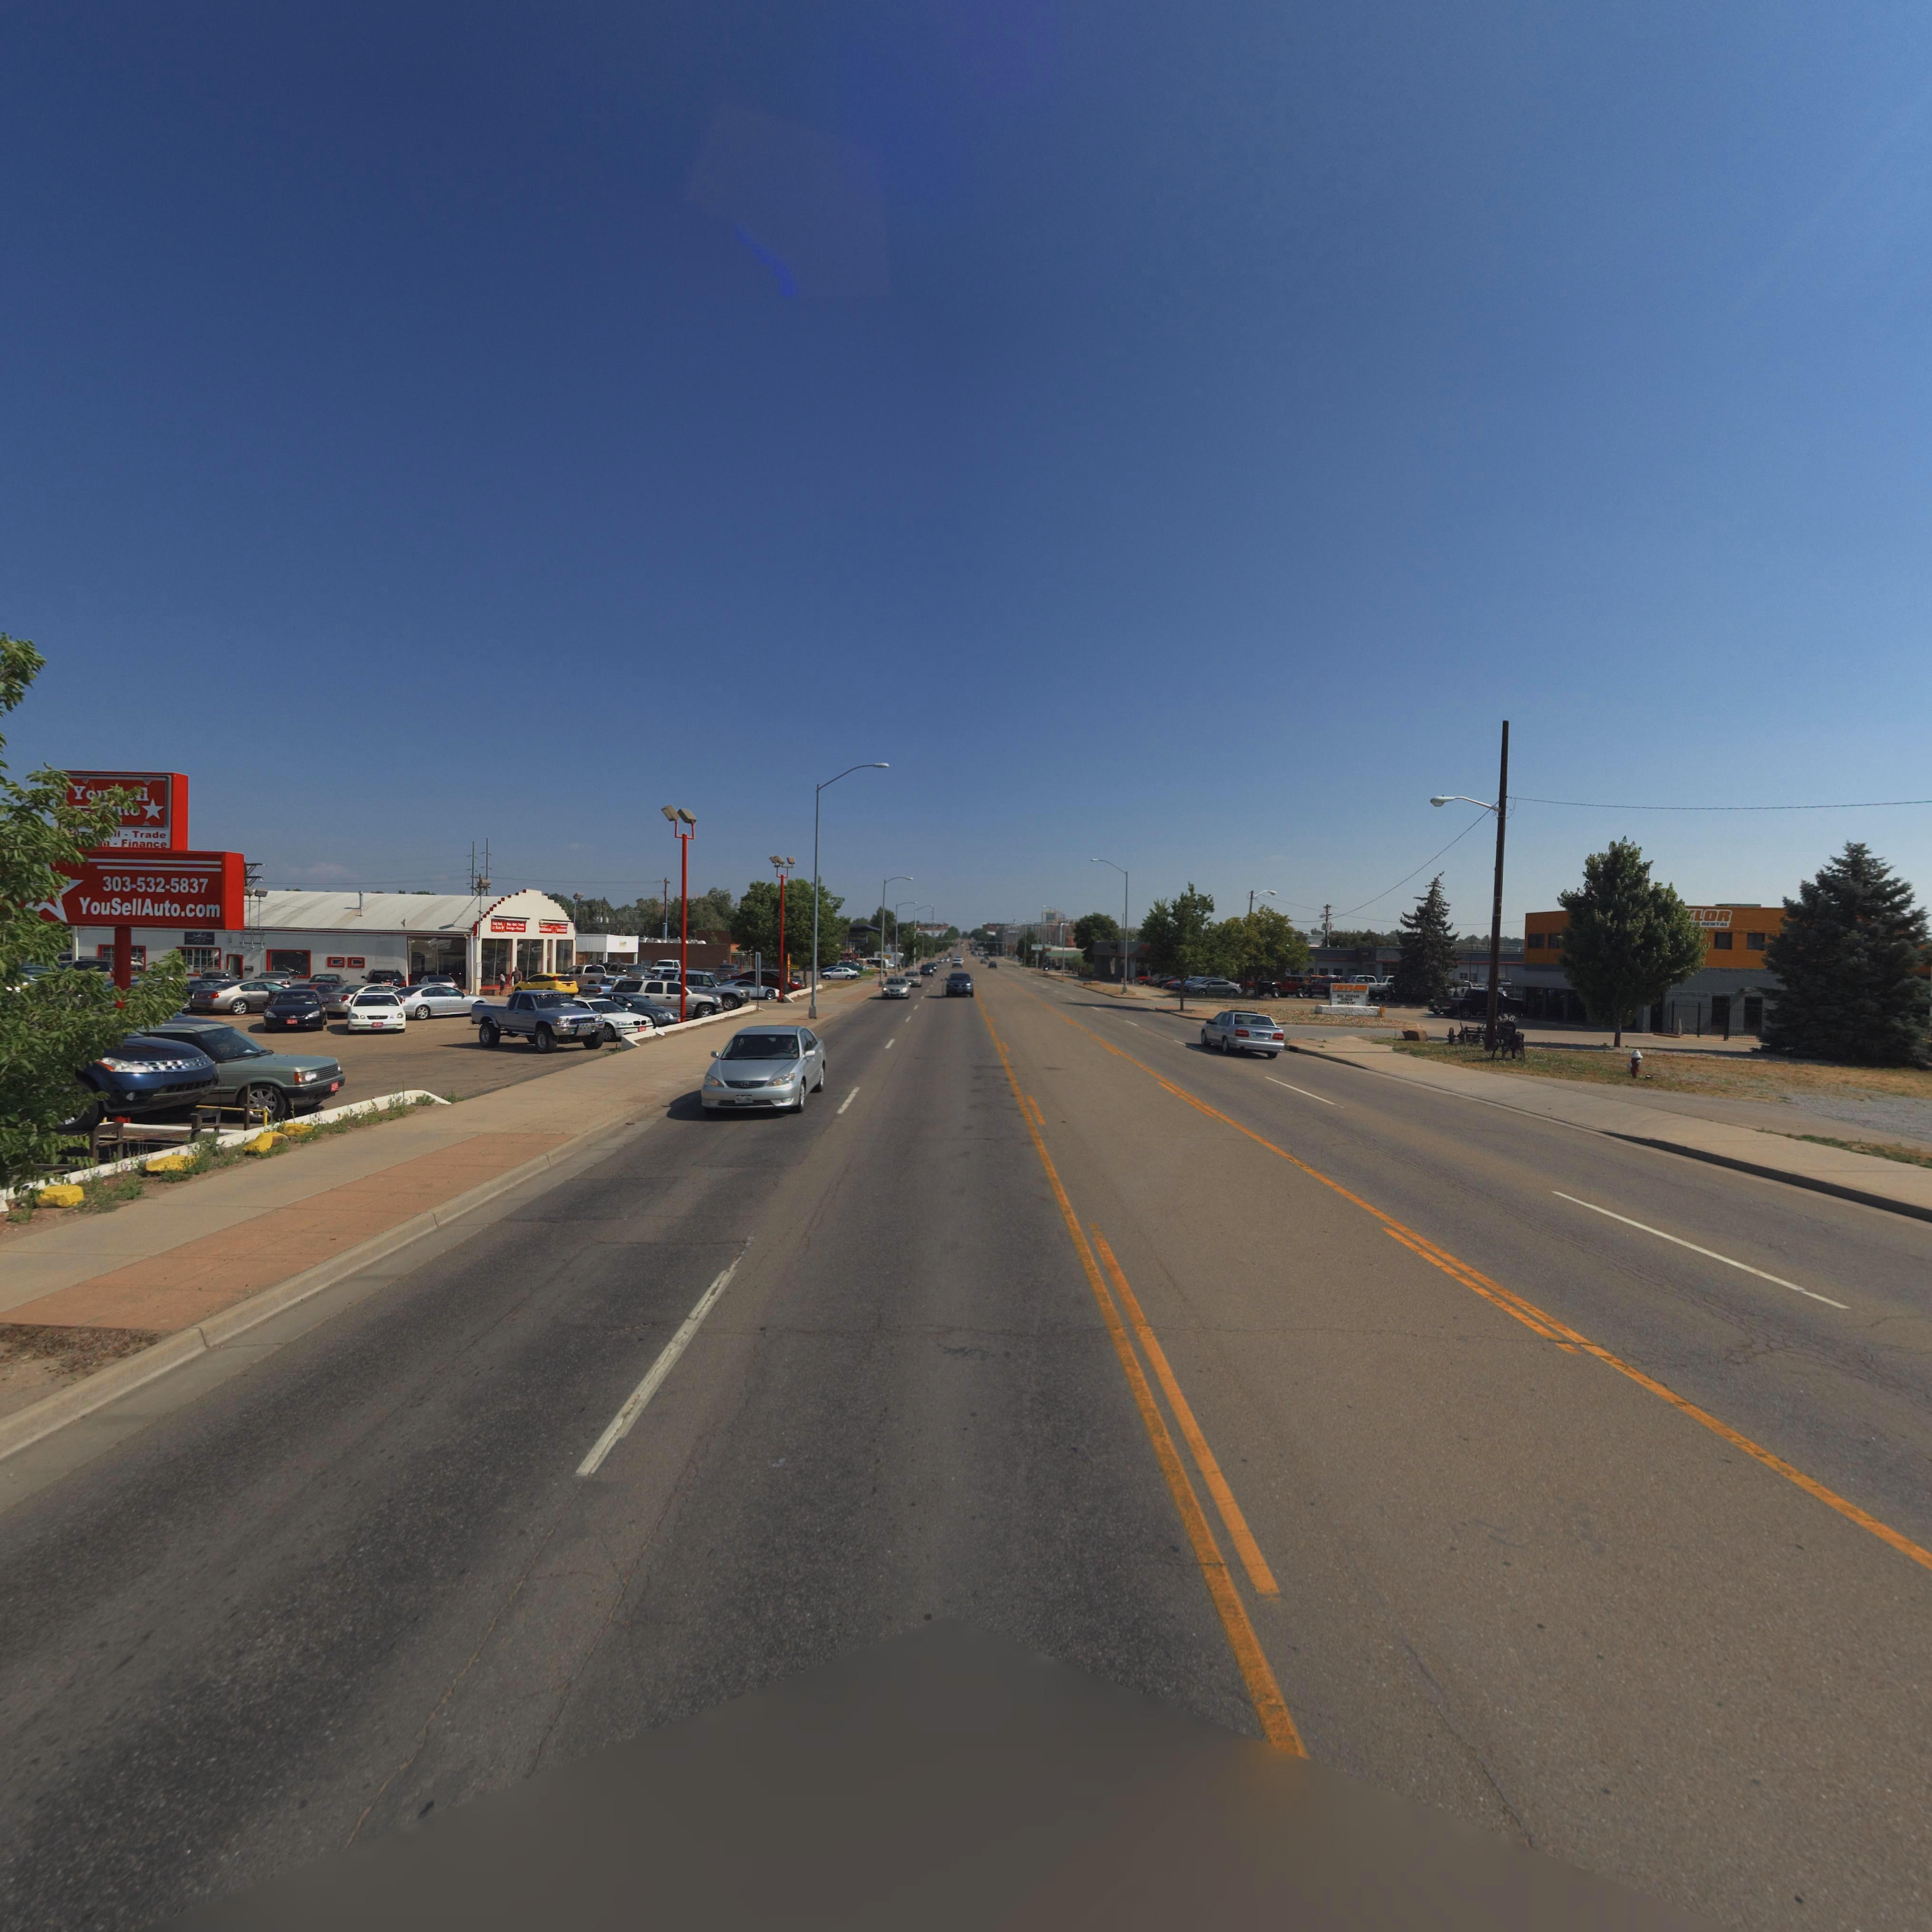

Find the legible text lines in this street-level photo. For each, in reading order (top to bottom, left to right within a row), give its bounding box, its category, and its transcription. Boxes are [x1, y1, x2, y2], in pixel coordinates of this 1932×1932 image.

[72, 785, 148, 801] BusinessName: Y** ***l
[1689, 909, 1731, 921] BusinessName: *LOR
[1332, 984, 1367, 991] BusinessName: ***L**